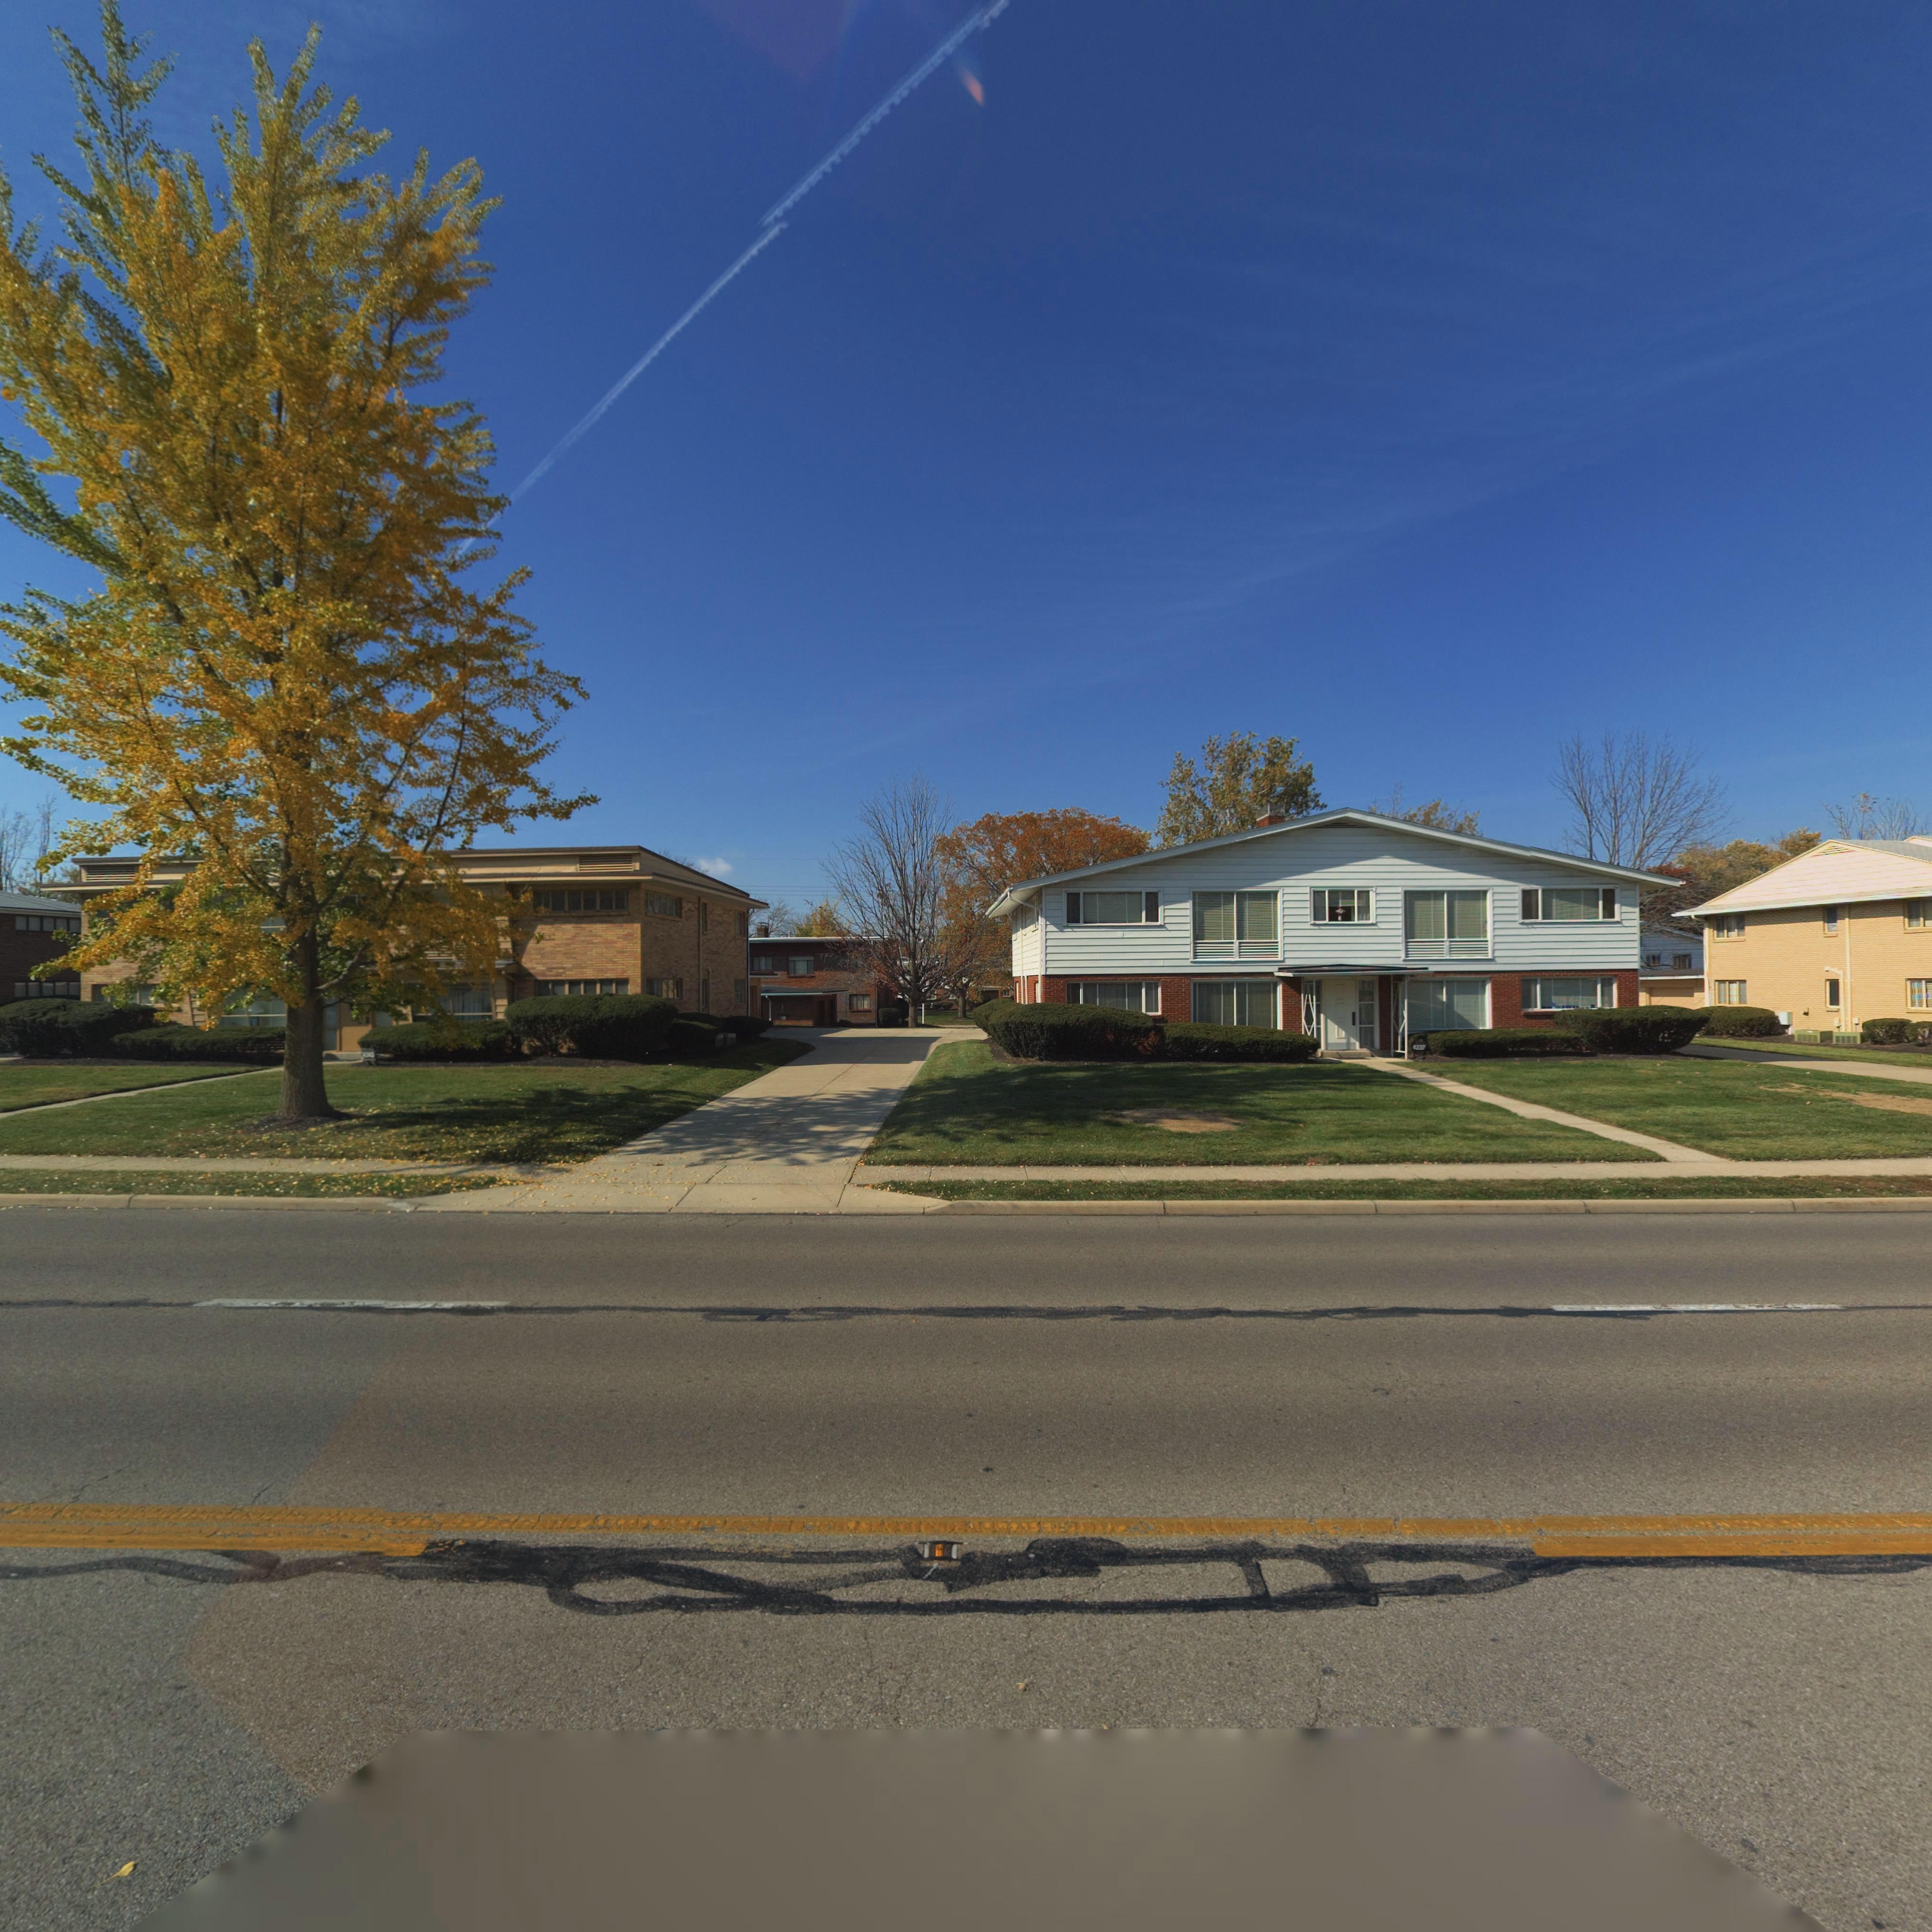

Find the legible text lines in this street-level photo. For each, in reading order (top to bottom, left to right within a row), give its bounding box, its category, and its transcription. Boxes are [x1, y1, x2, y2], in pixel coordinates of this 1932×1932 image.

[1410, 1043, 1427, 1051] StreetNumber: 4237